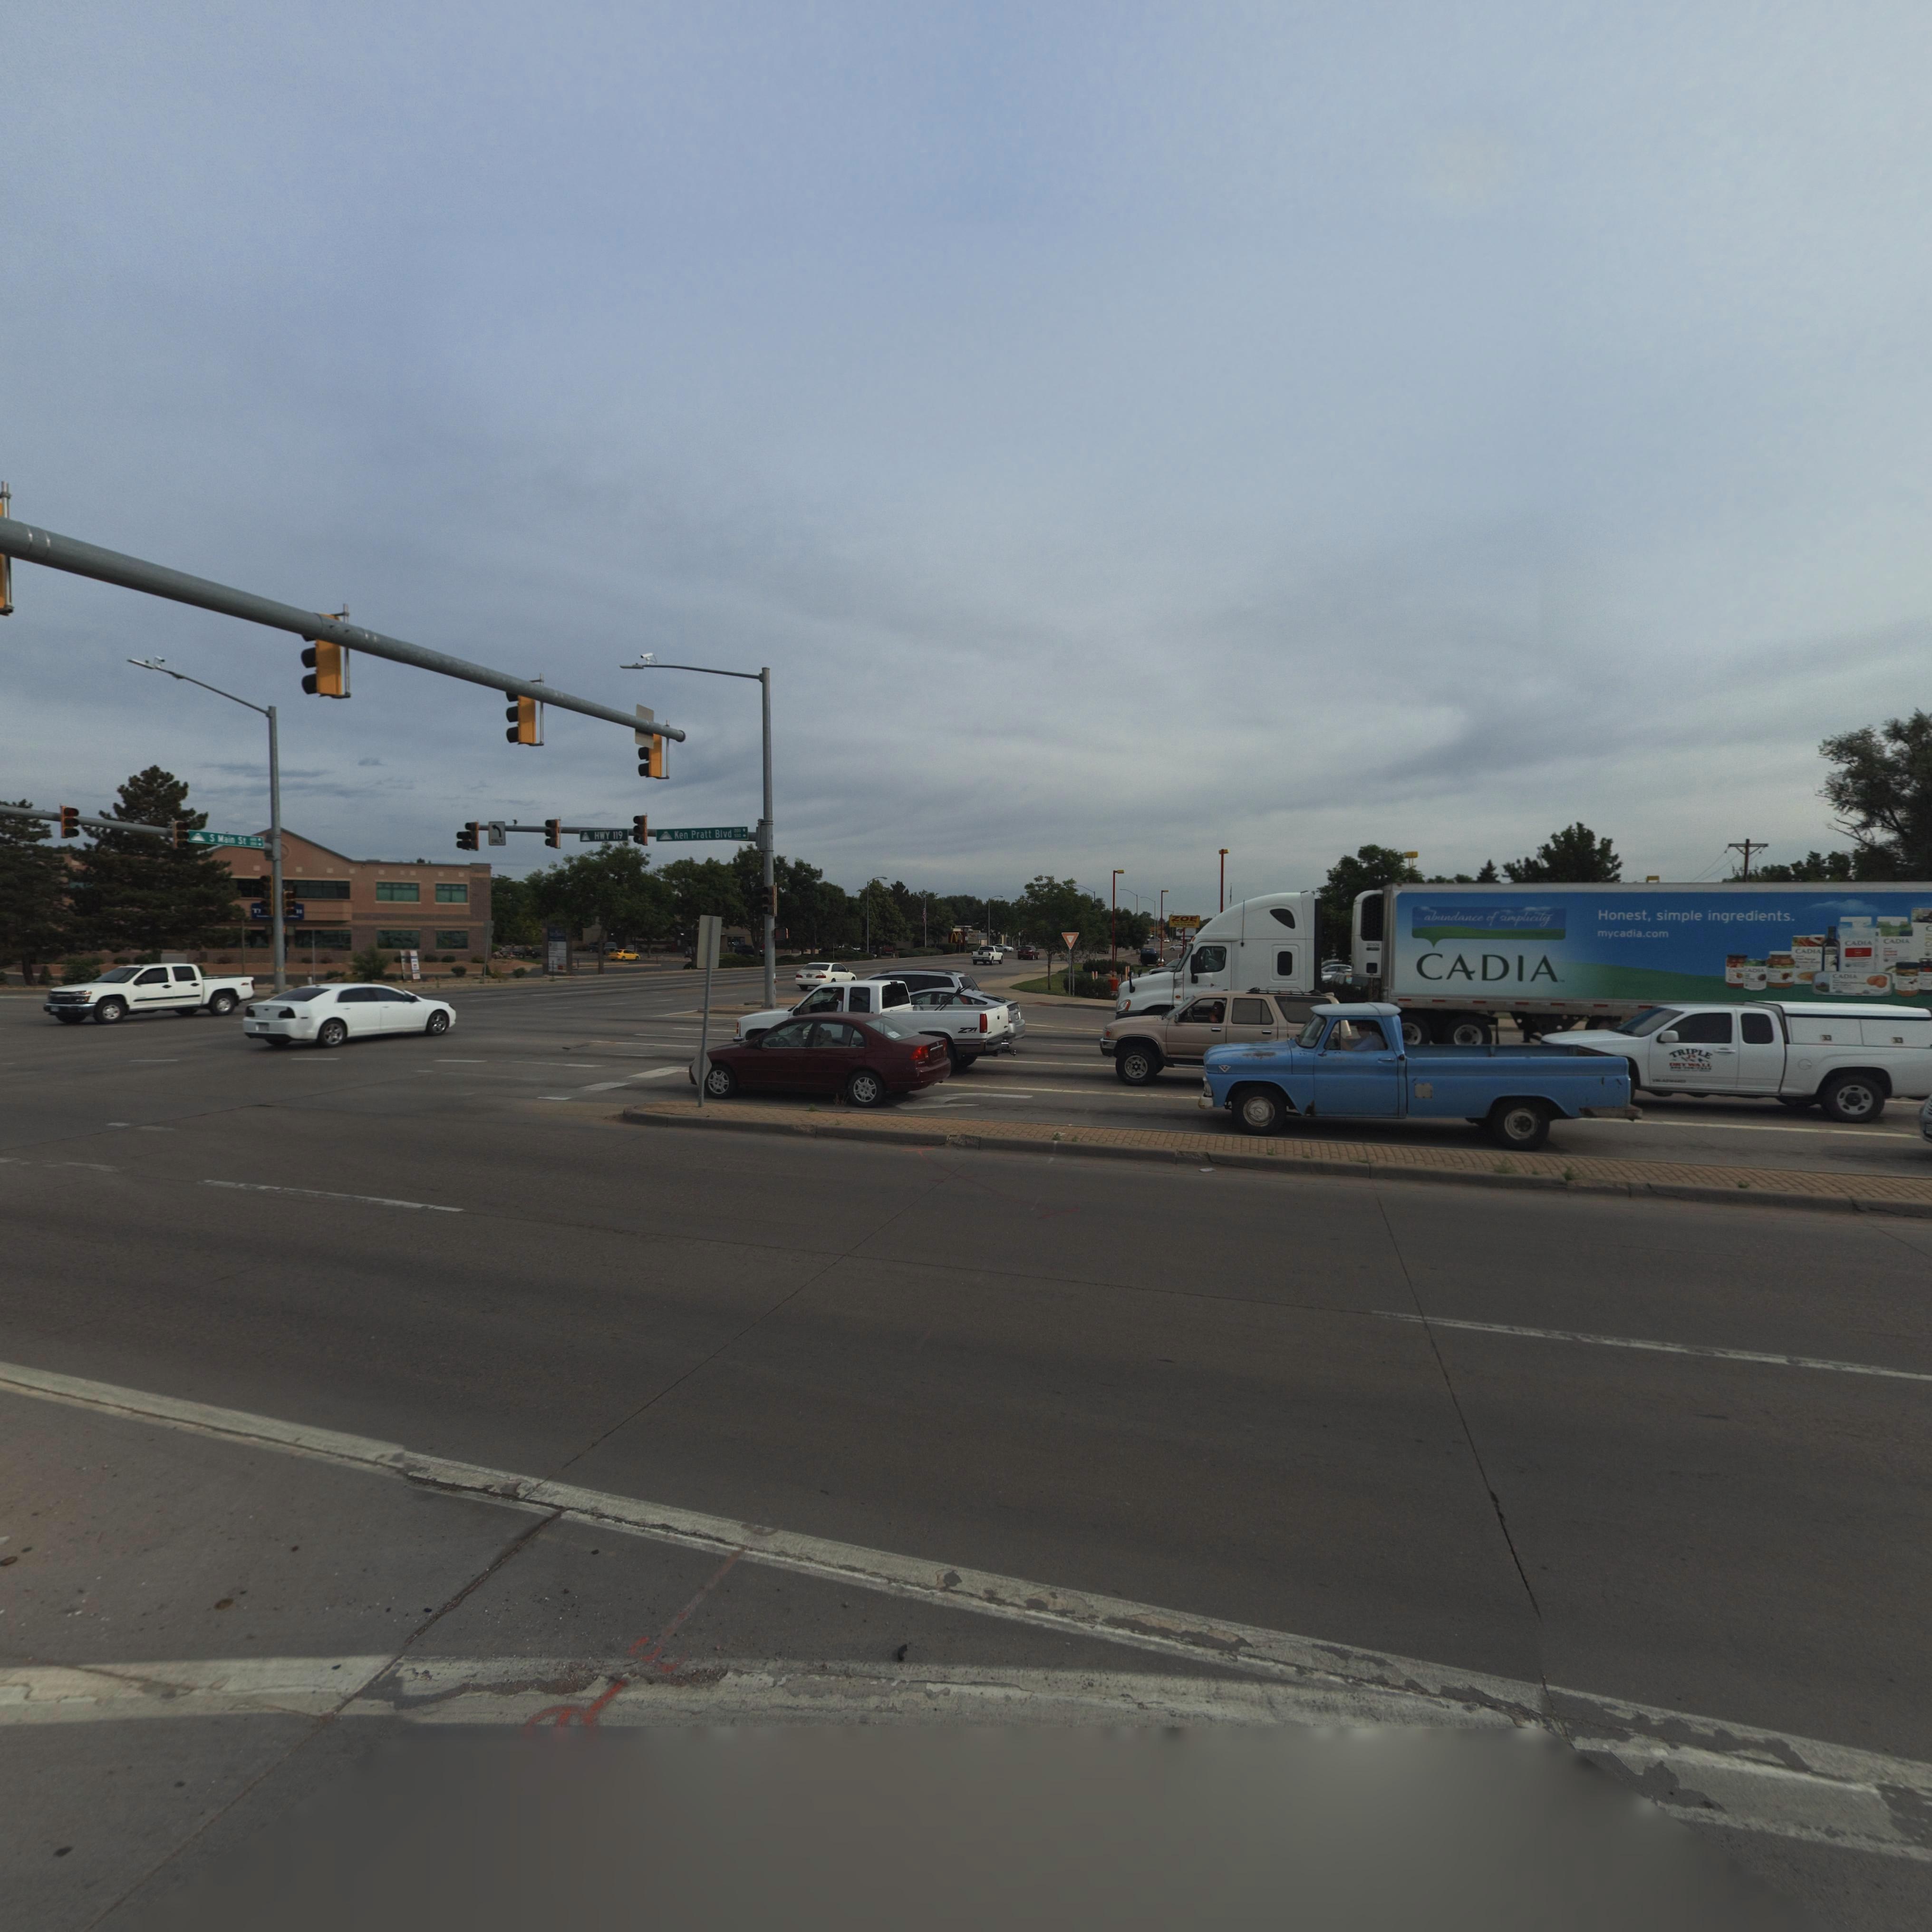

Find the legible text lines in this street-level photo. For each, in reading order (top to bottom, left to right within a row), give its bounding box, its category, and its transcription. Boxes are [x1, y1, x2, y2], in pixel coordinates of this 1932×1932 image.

[734, 828, 741, 832] StreetNumberRange: 200
[594, 830, 623, 840] StreetName: HWY 119
[674, 829, 732, 839] StreetName: Ken Pratt Blvd
[734, 833, 746, 838] StreetNumberRange: 500 ->
[209, 833, 247, 845] StreetName: S Main St
[251, 907, 261, 914] BusinessName: Ti
[295, 908, 303, 915] BusinessName: R
[1171, 916, 1198, 921] BusinessName: ZOE
[548, 929, 566, 937] BusinessName: ****S***